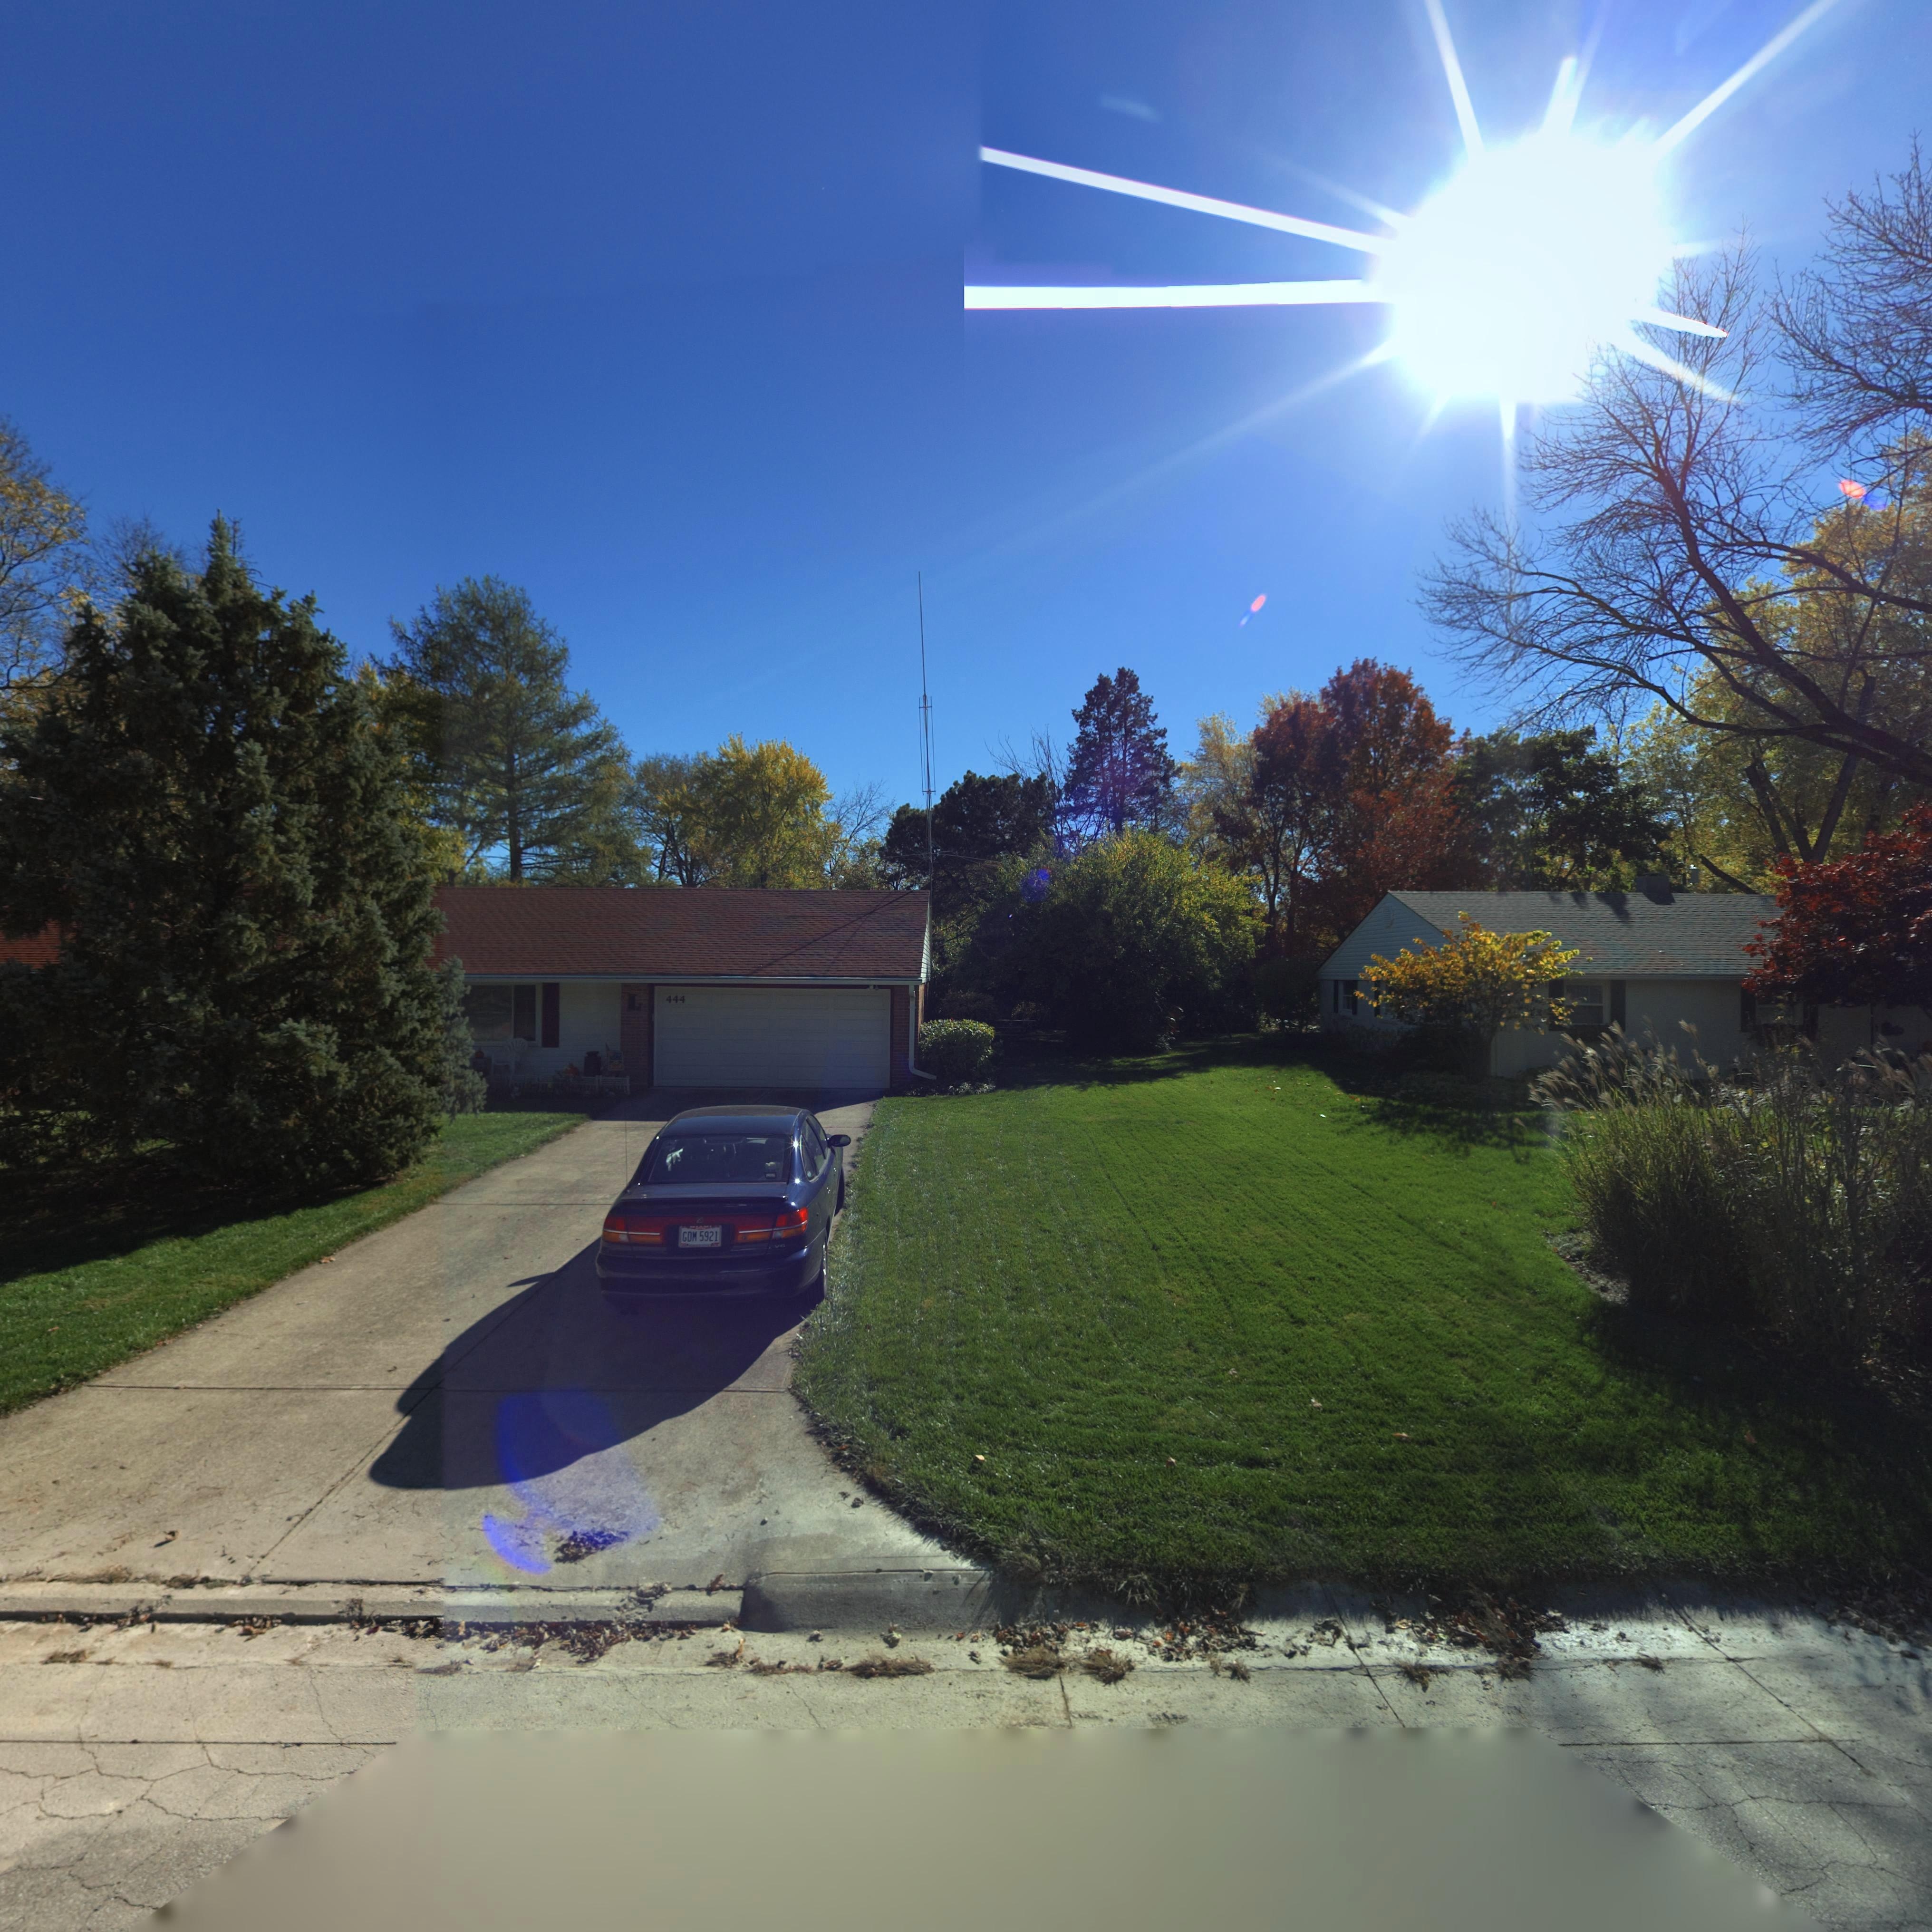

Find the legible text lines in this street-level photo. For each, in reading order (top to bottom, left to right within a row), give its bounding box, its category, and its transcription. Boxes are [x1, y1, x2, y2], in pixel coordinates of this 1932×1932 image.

[665, 995, 686, 1004] StreetNumber: 444
[681, 1230, 718, 1243] None: GDM*5921